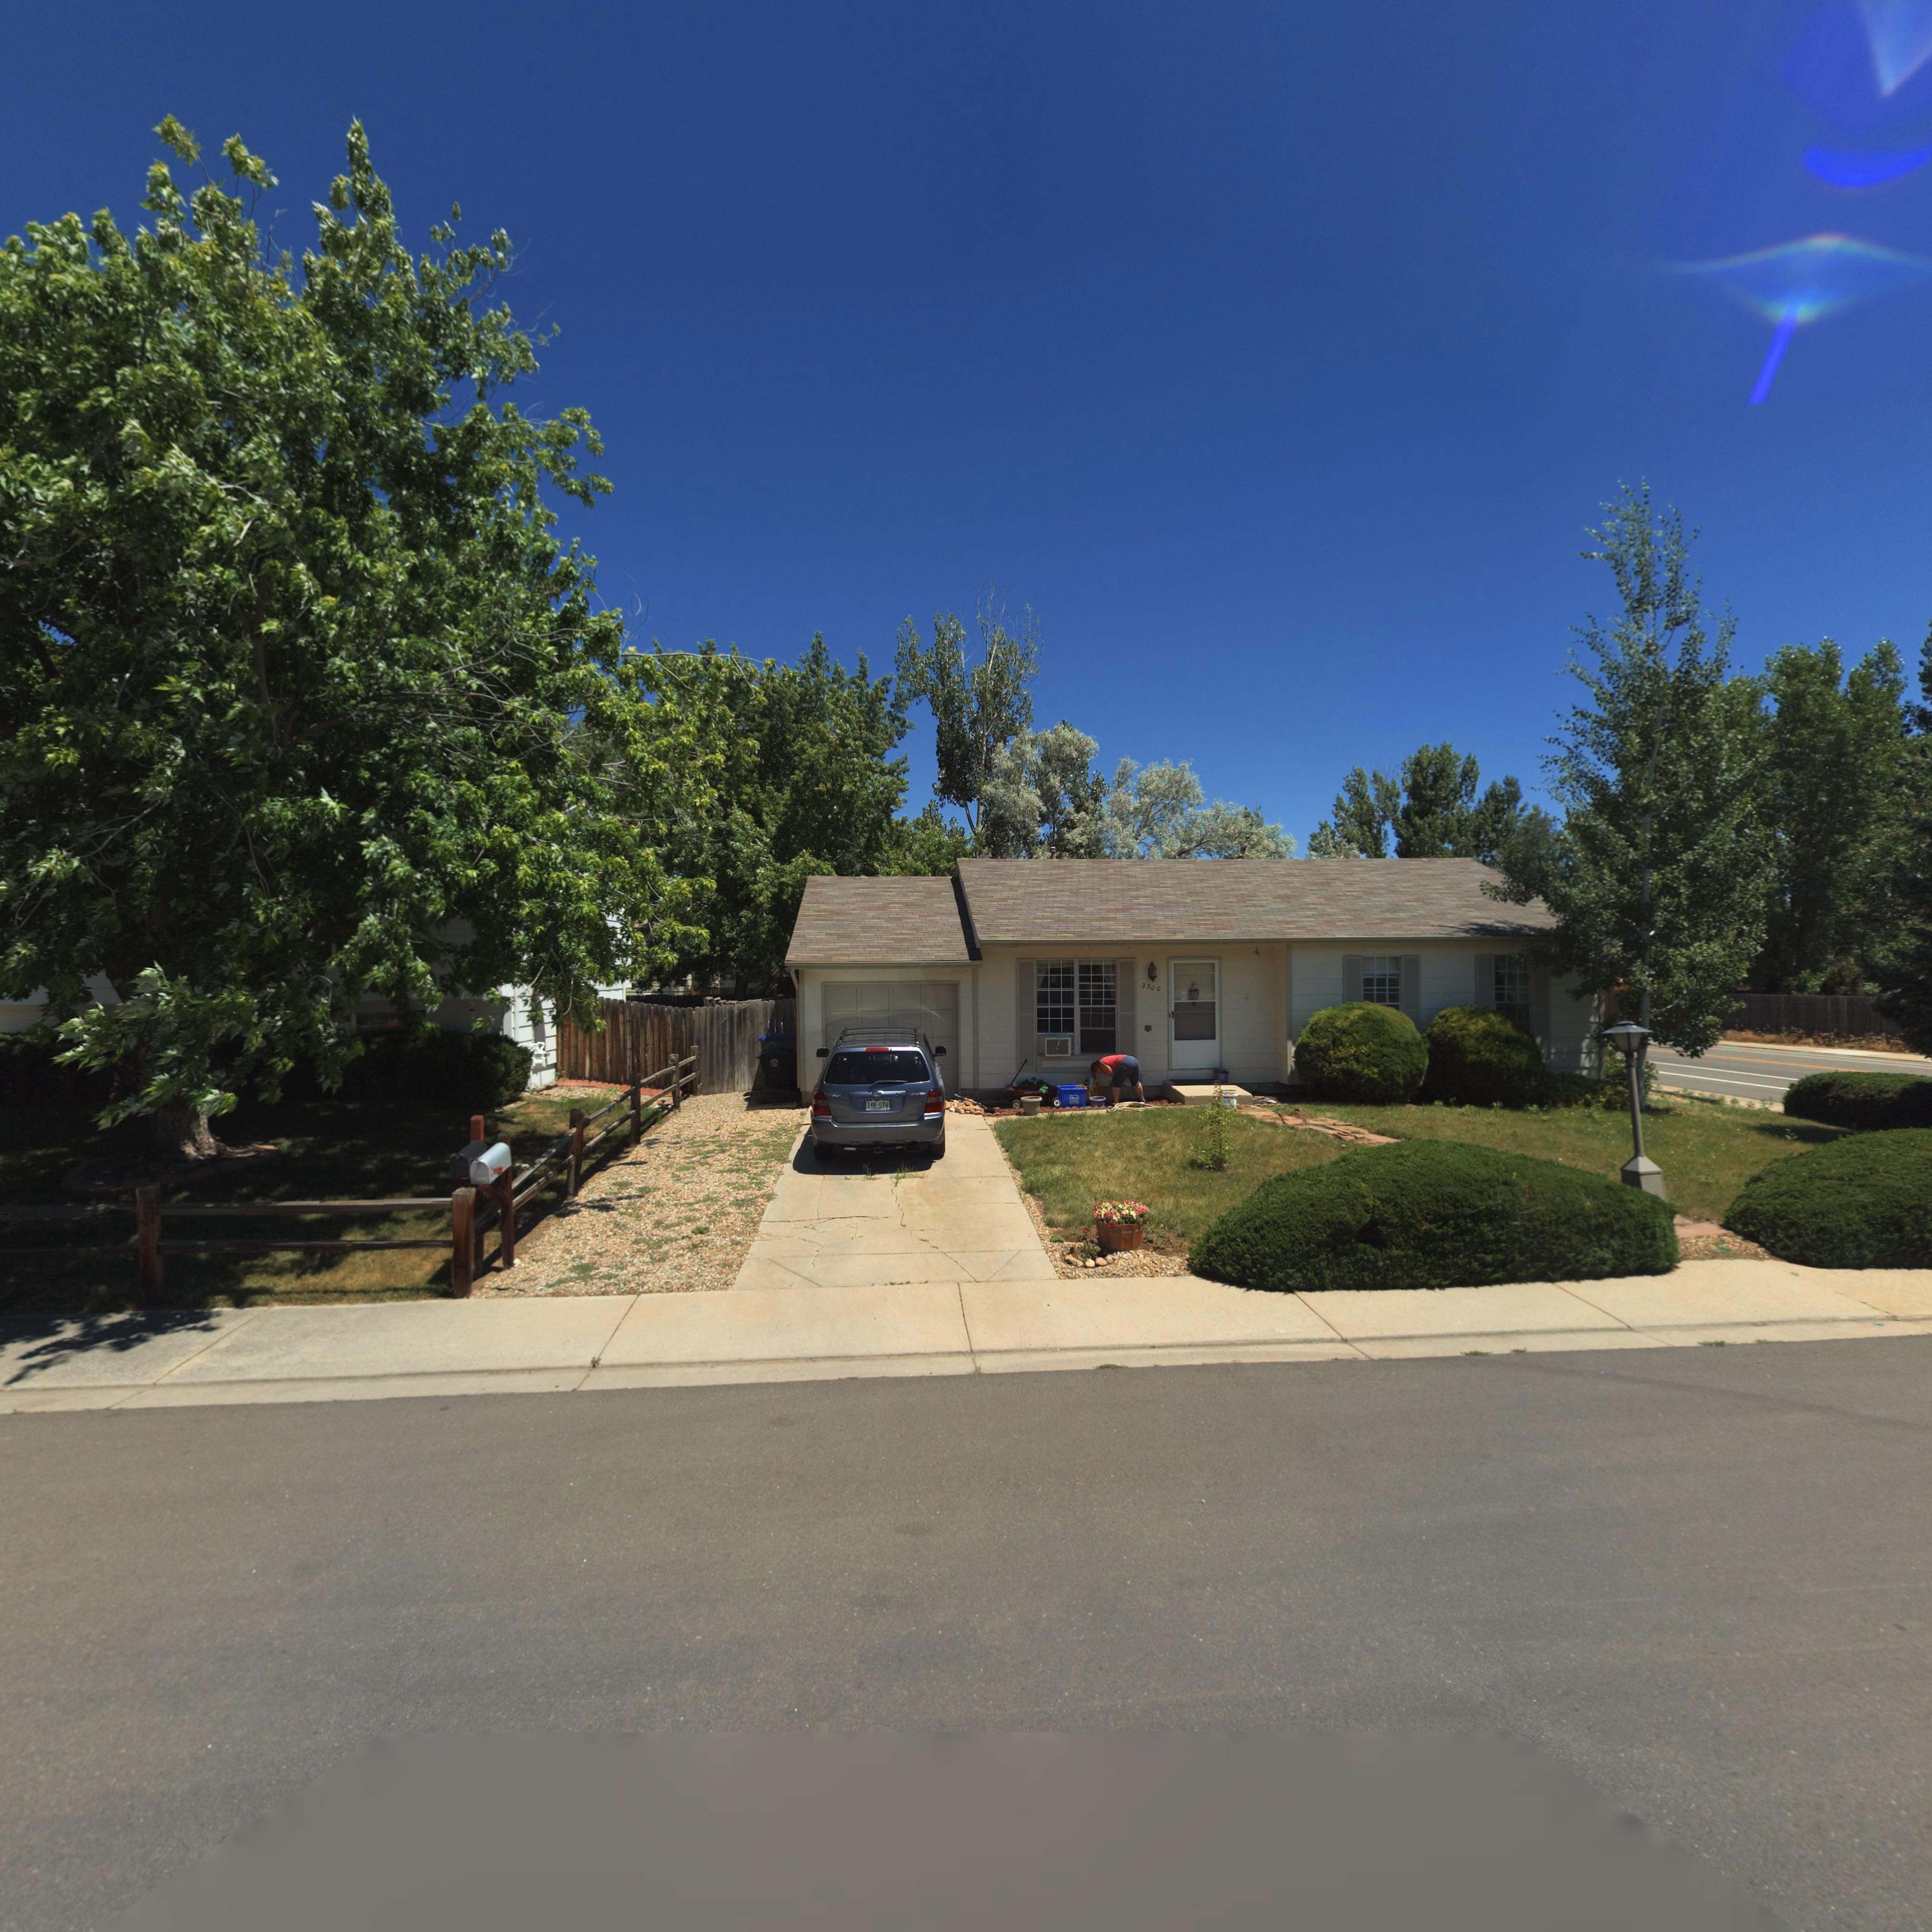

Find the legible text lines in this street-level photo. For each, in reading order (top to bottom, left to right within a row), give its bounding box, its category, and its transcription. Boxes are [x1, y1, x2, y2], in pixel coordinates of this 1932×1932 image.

[1141, 983, 1160, 991] StreetNumber: 2300